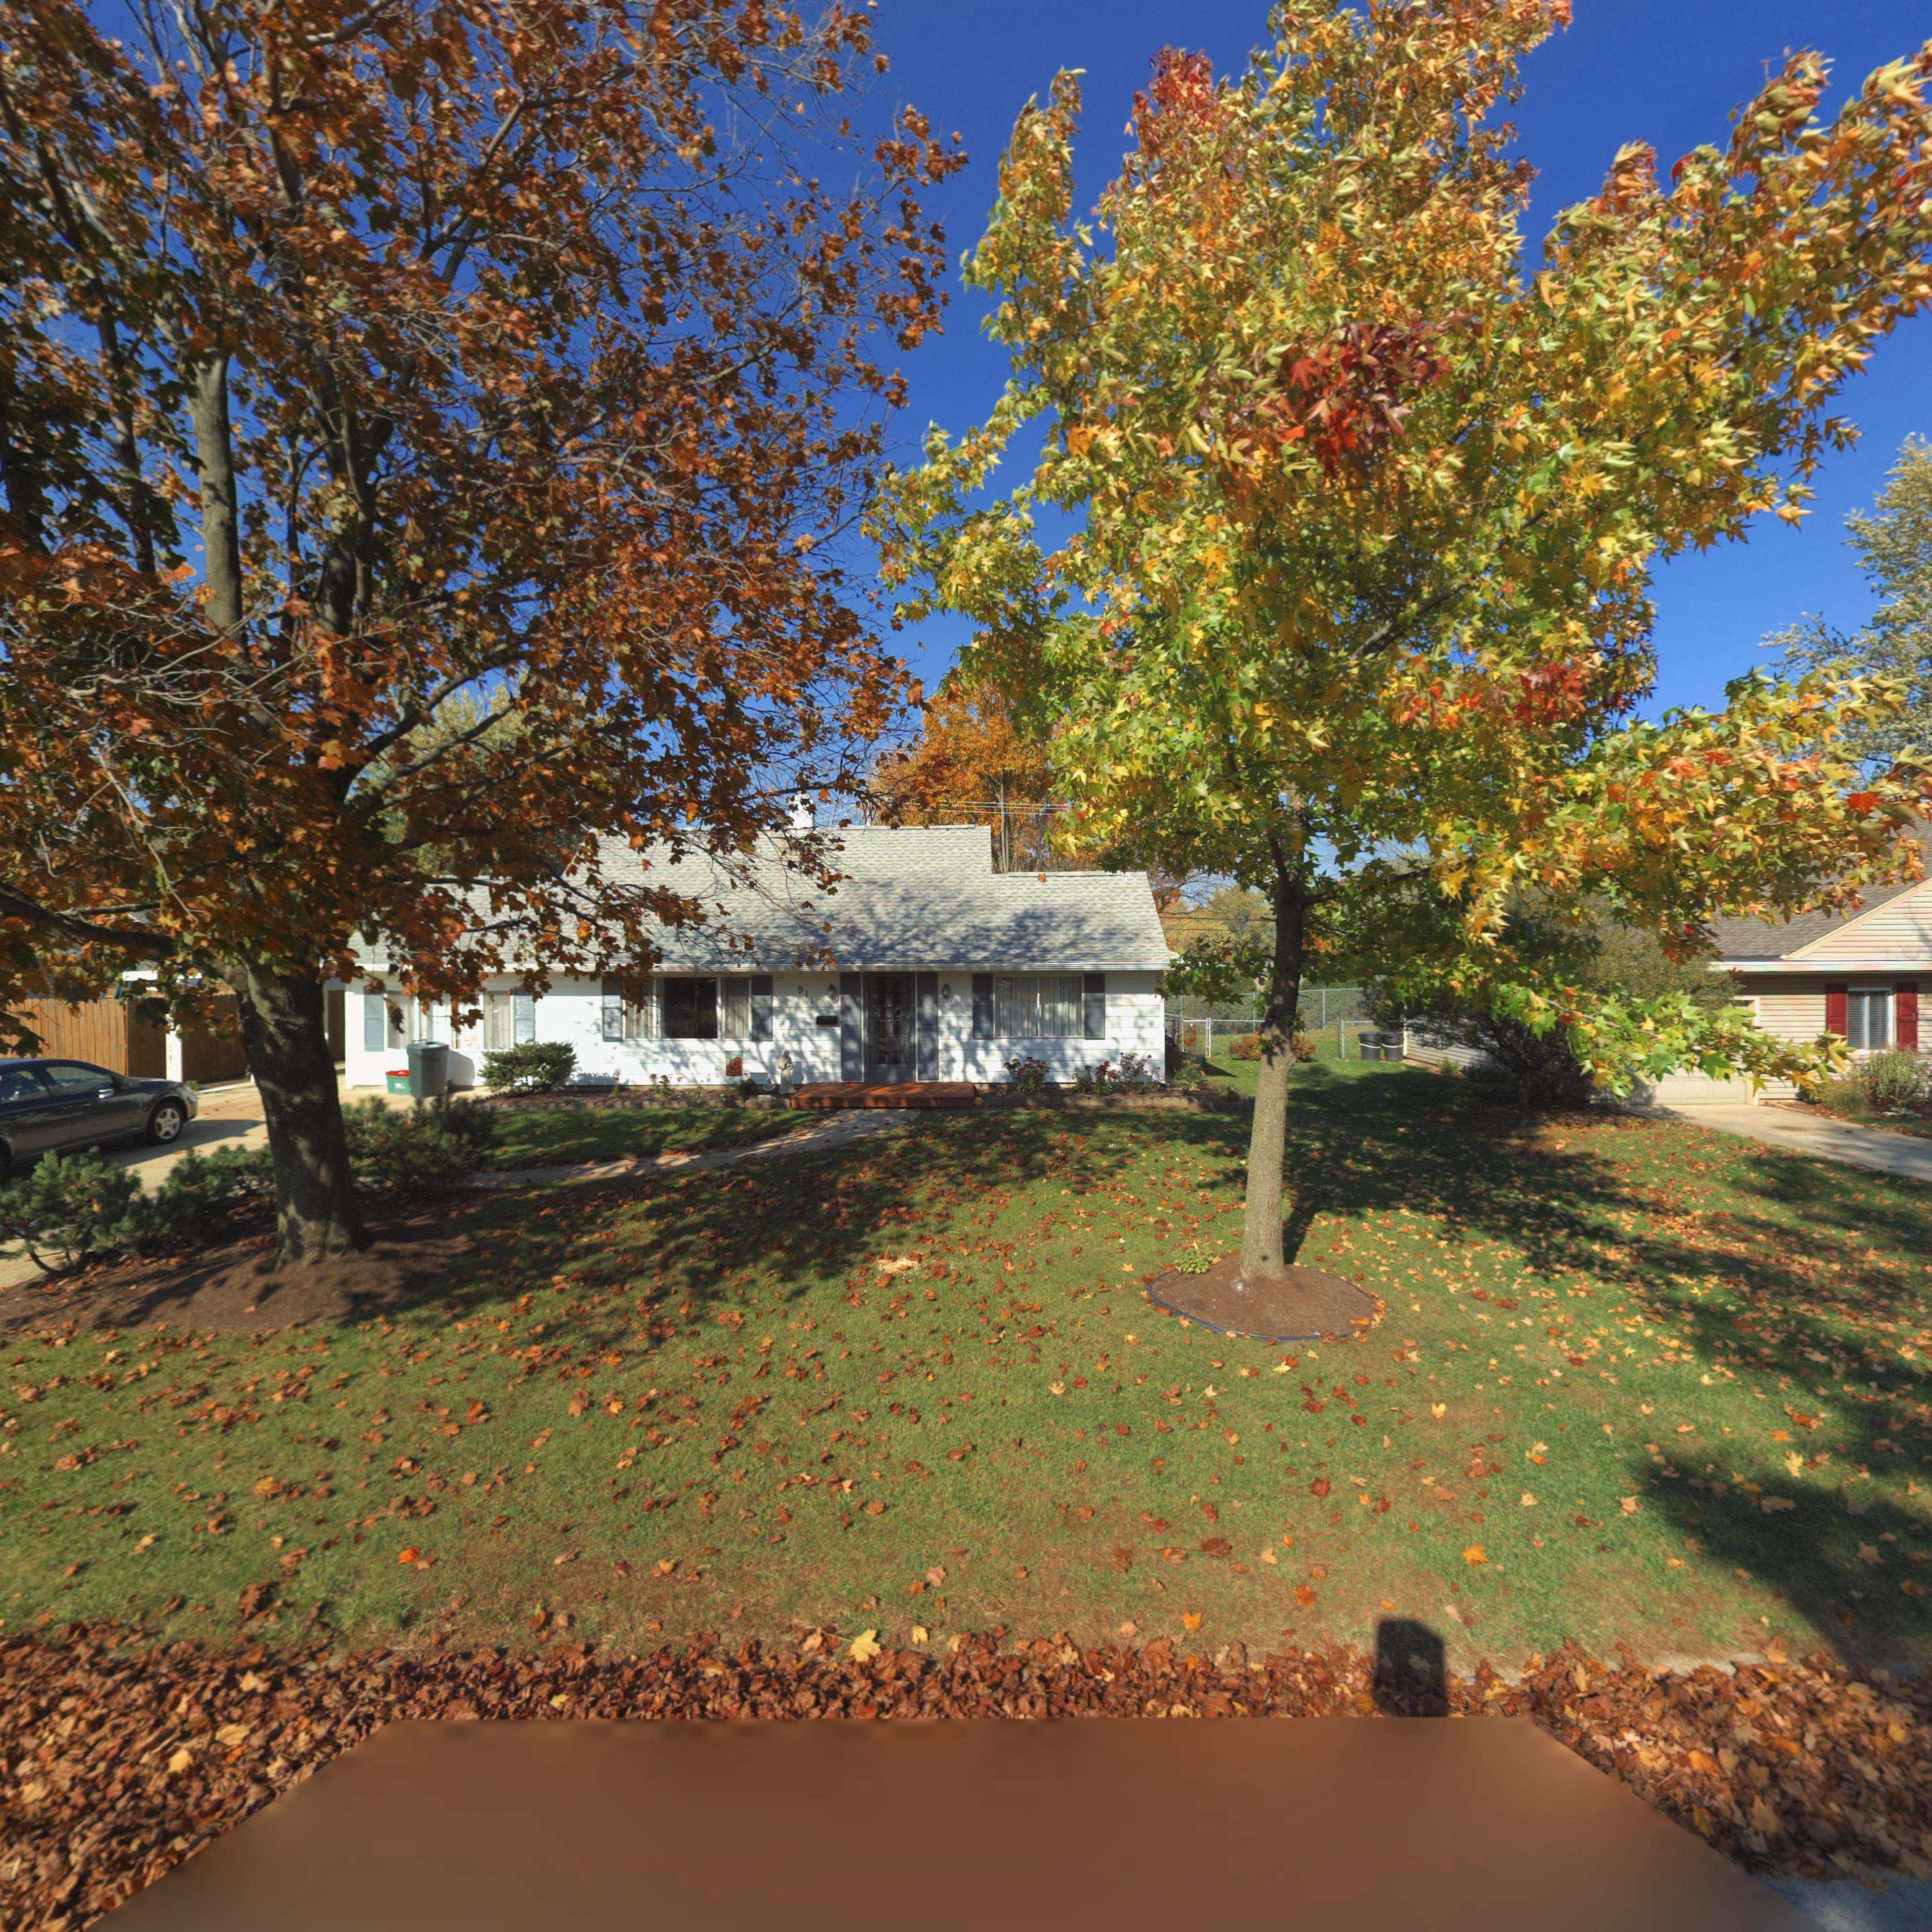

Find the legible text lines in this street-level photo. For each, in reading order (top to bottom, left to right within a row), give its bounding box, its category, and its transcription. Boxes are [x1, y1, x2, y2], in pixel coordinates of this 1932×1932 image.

[797, 985, 814, 1005] StreetNumber: 911